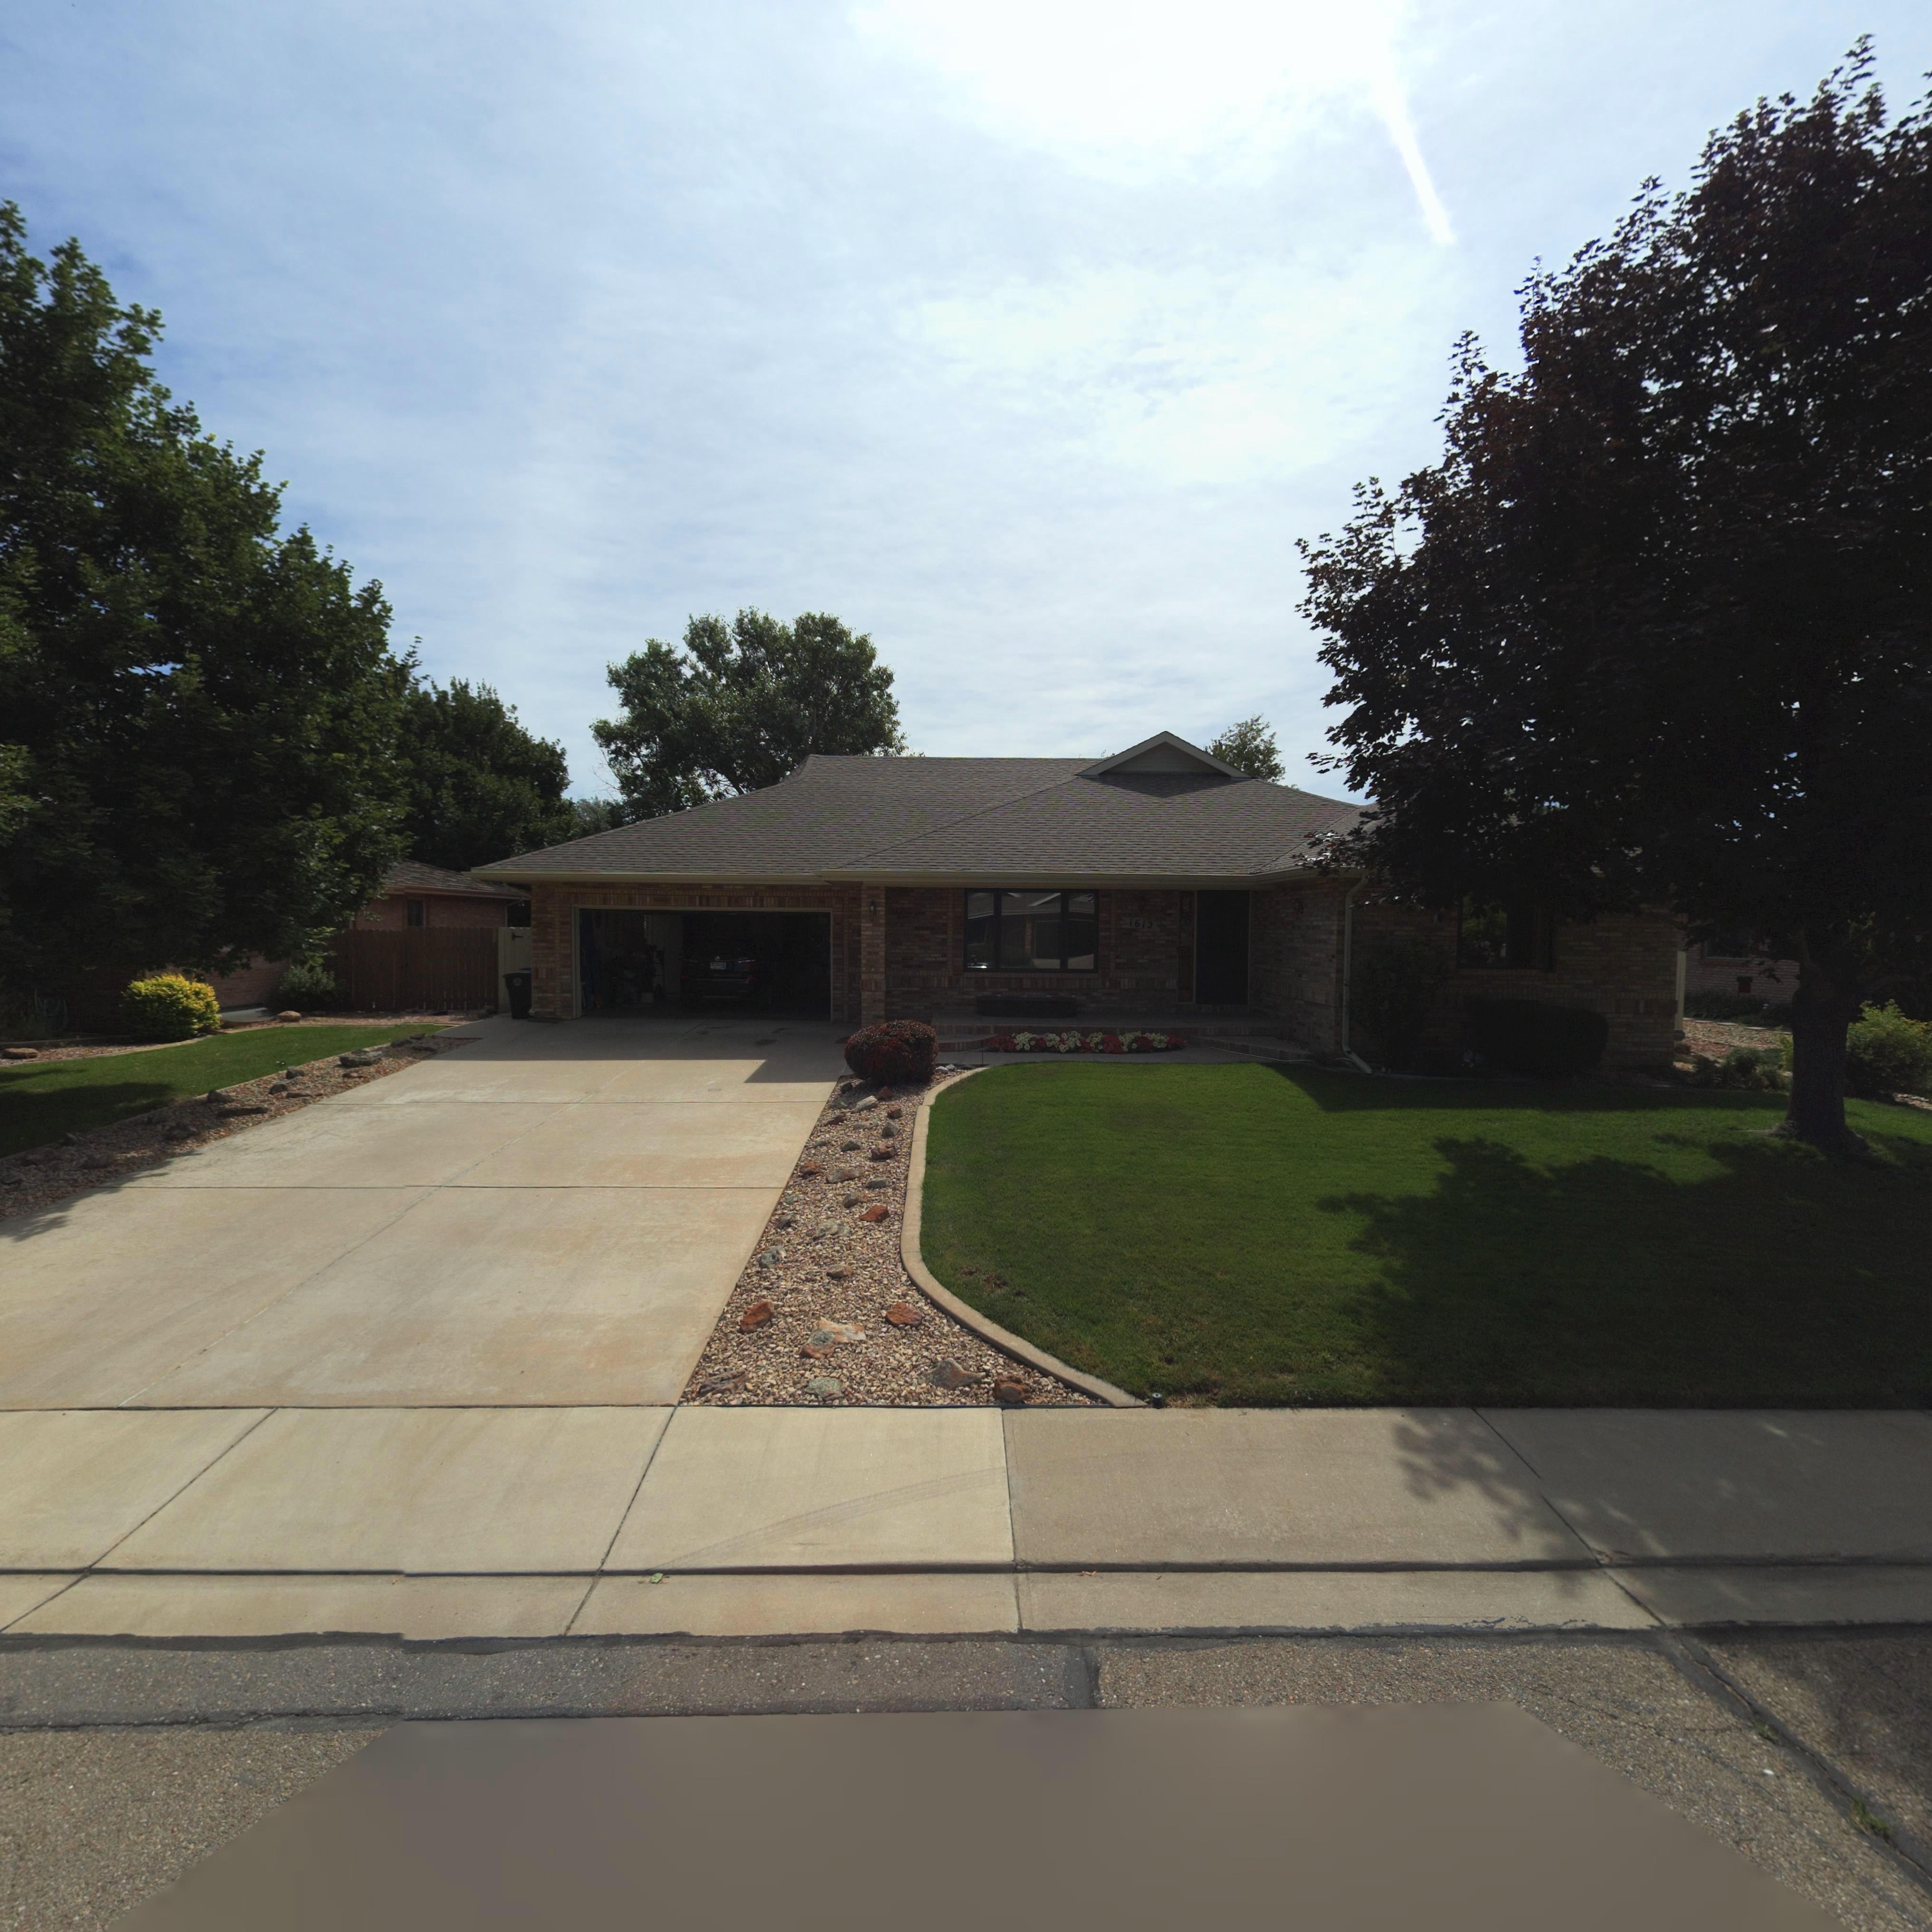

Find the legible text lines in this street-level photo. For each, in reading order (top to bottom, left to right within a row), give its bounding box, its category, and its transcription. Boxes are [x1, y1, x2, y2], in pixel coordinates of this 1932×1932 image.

[1128, 918, 1153, 929] StreetNumber: 1612